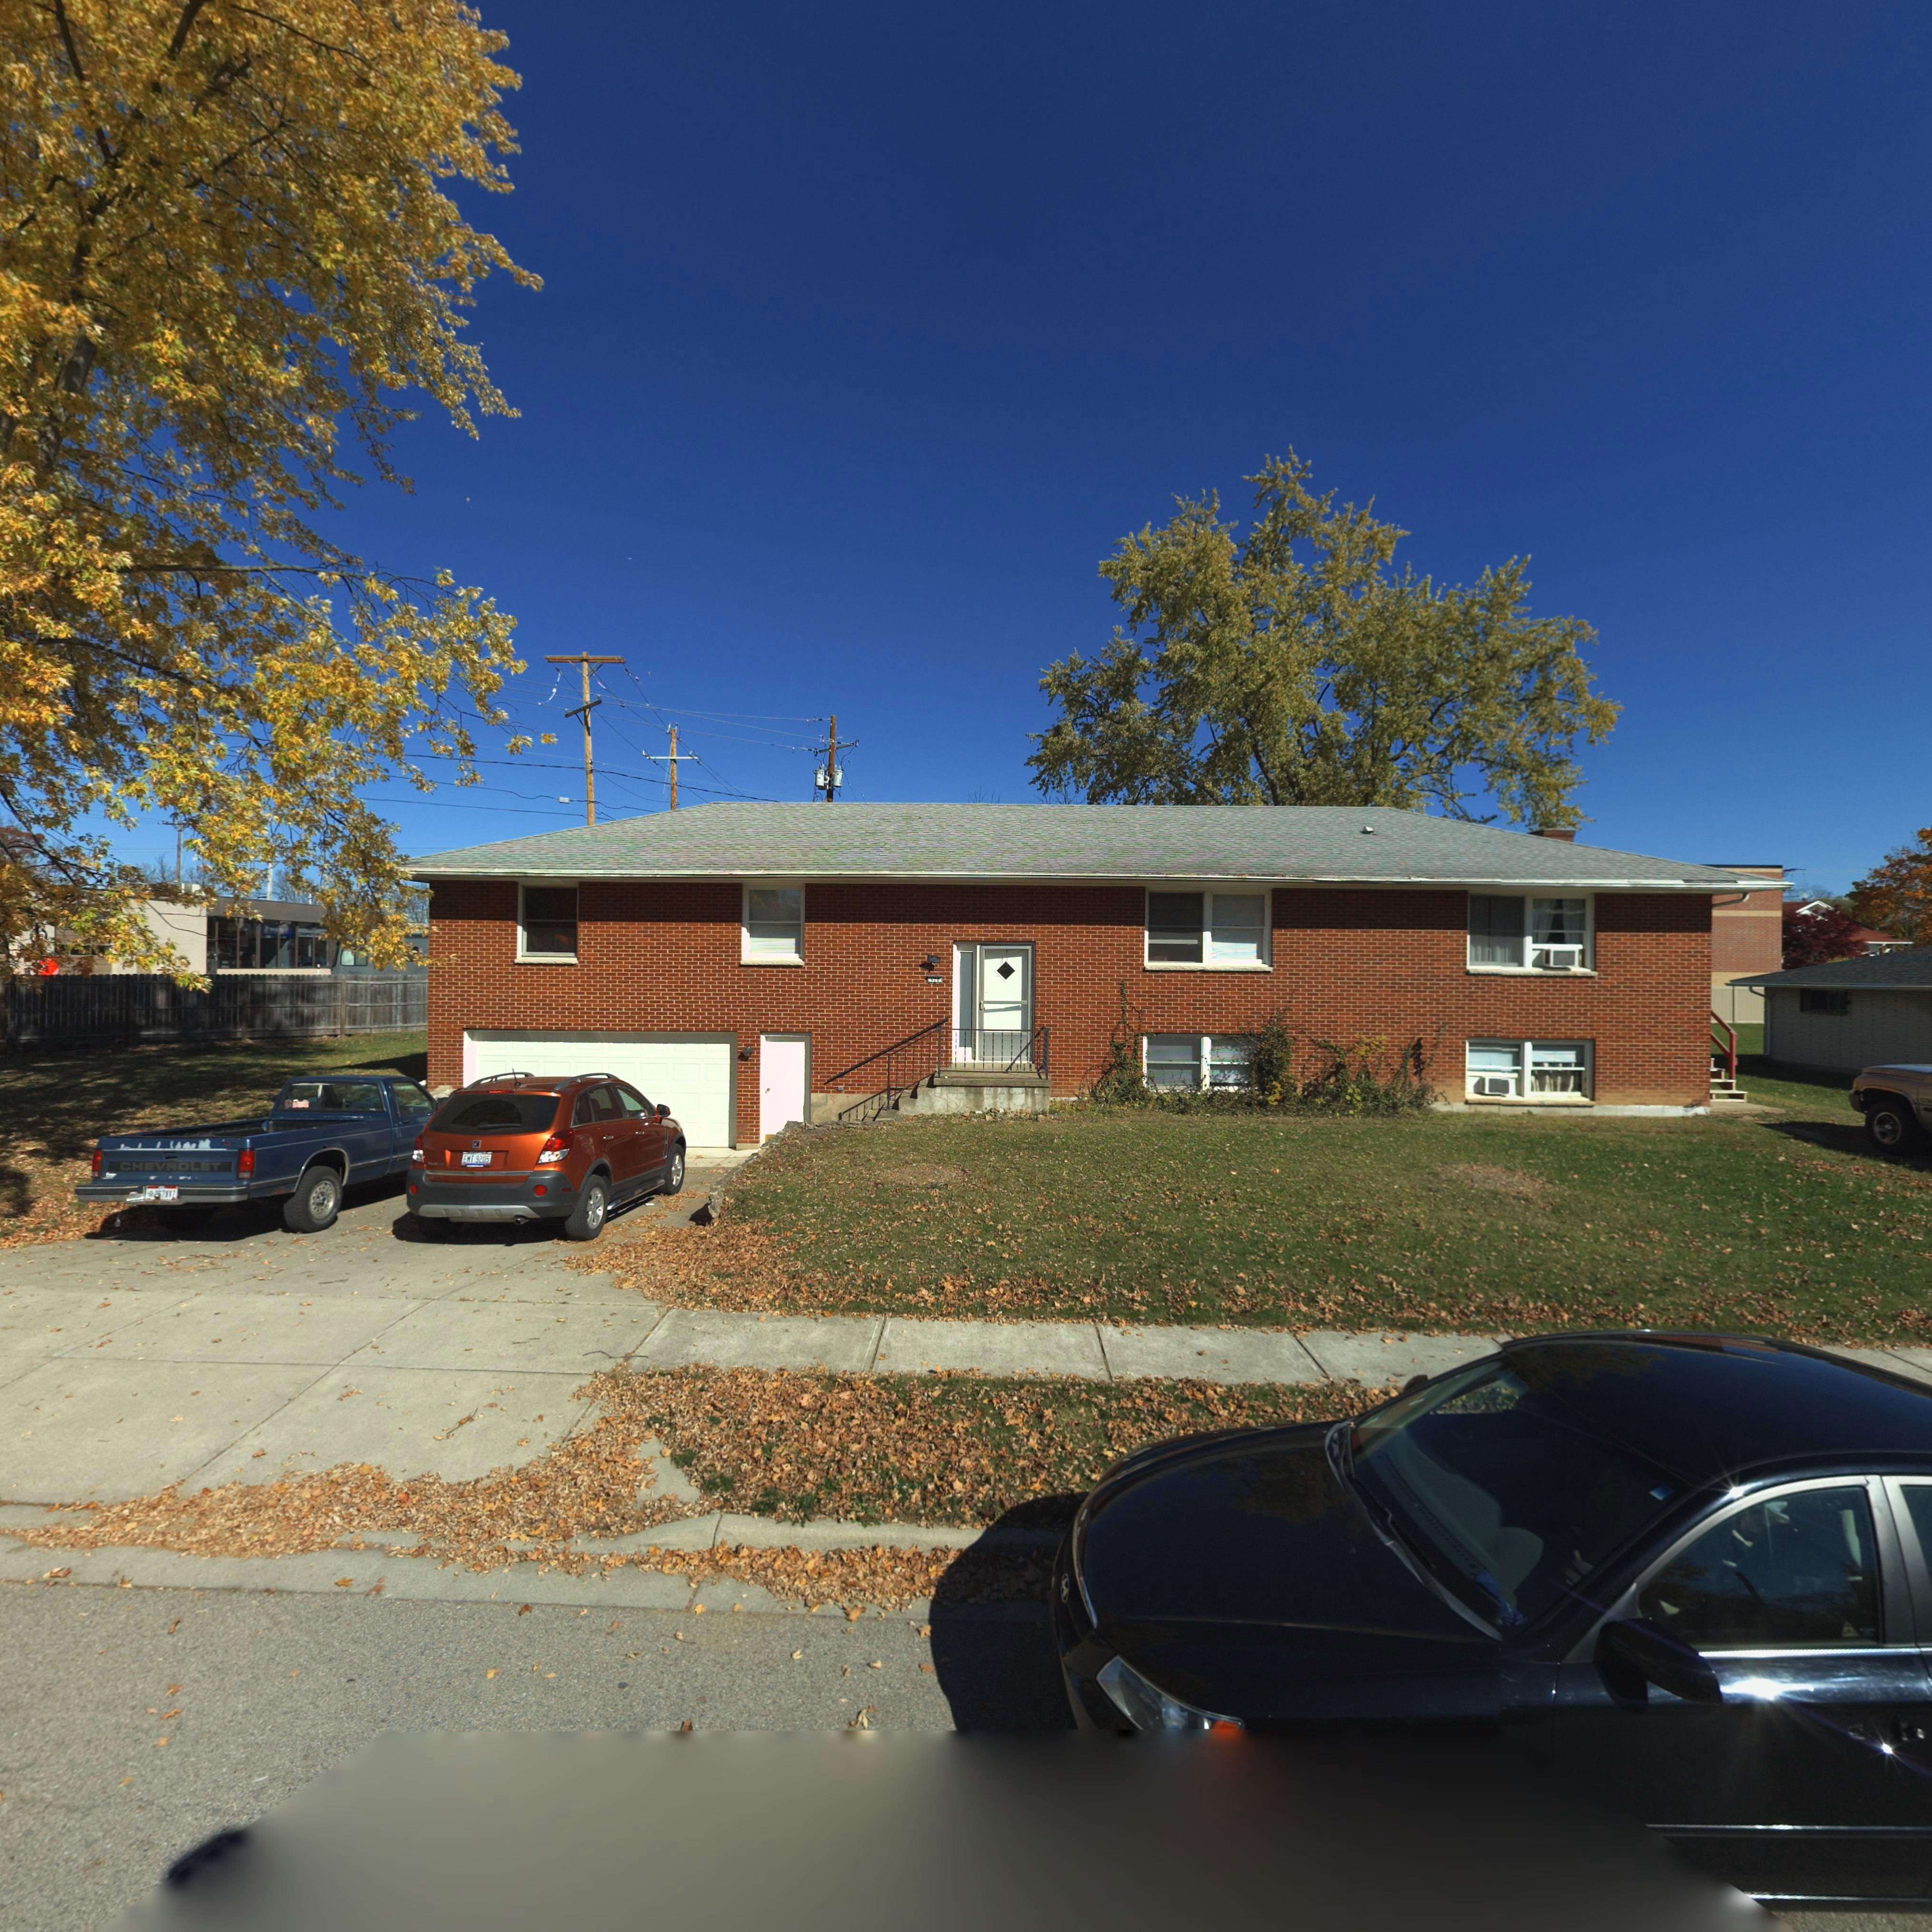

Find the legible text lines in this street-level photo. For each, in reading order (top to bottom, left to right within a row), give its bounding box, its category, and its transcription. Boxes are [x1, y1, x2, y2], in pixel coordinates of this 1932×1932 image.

[930, 977, 940, 982] StreetNumber: 520